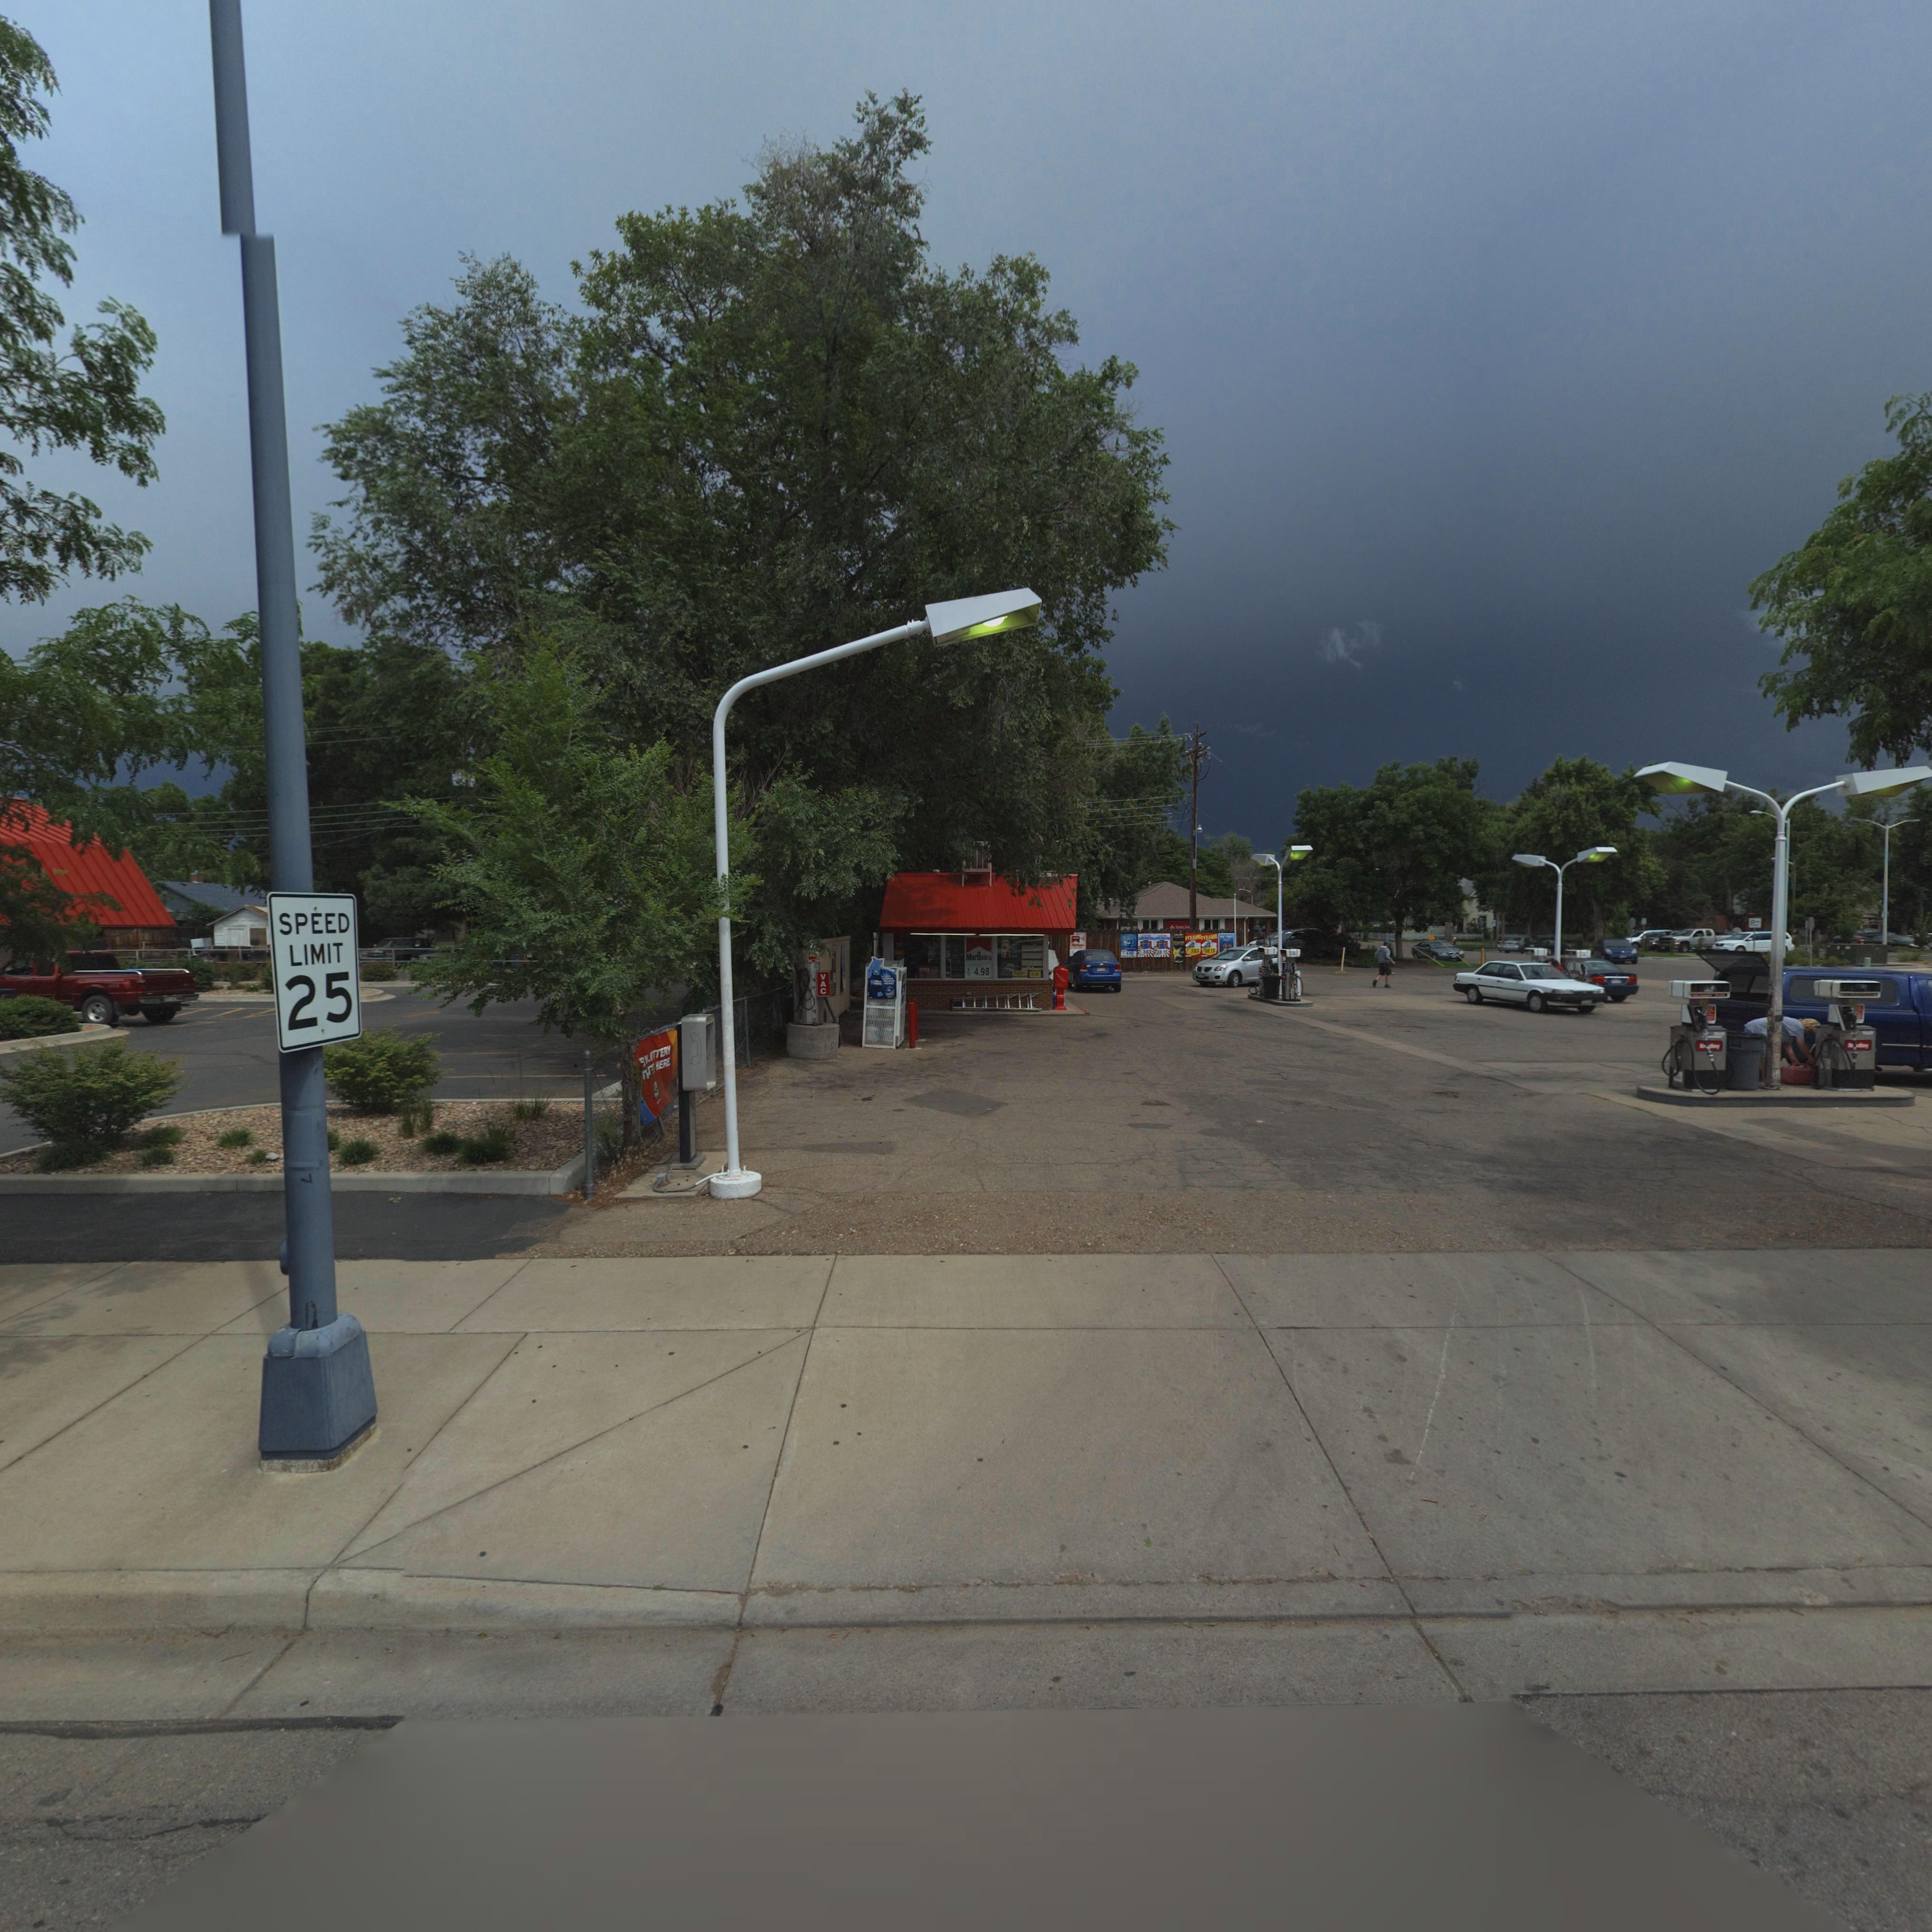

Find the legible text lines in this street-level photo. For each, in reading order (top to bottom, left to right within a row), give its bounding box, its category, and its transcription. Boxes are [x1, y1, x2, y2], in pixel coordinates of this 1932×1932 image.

[1175, 925, 1187, 929] BusinessName: St*teF